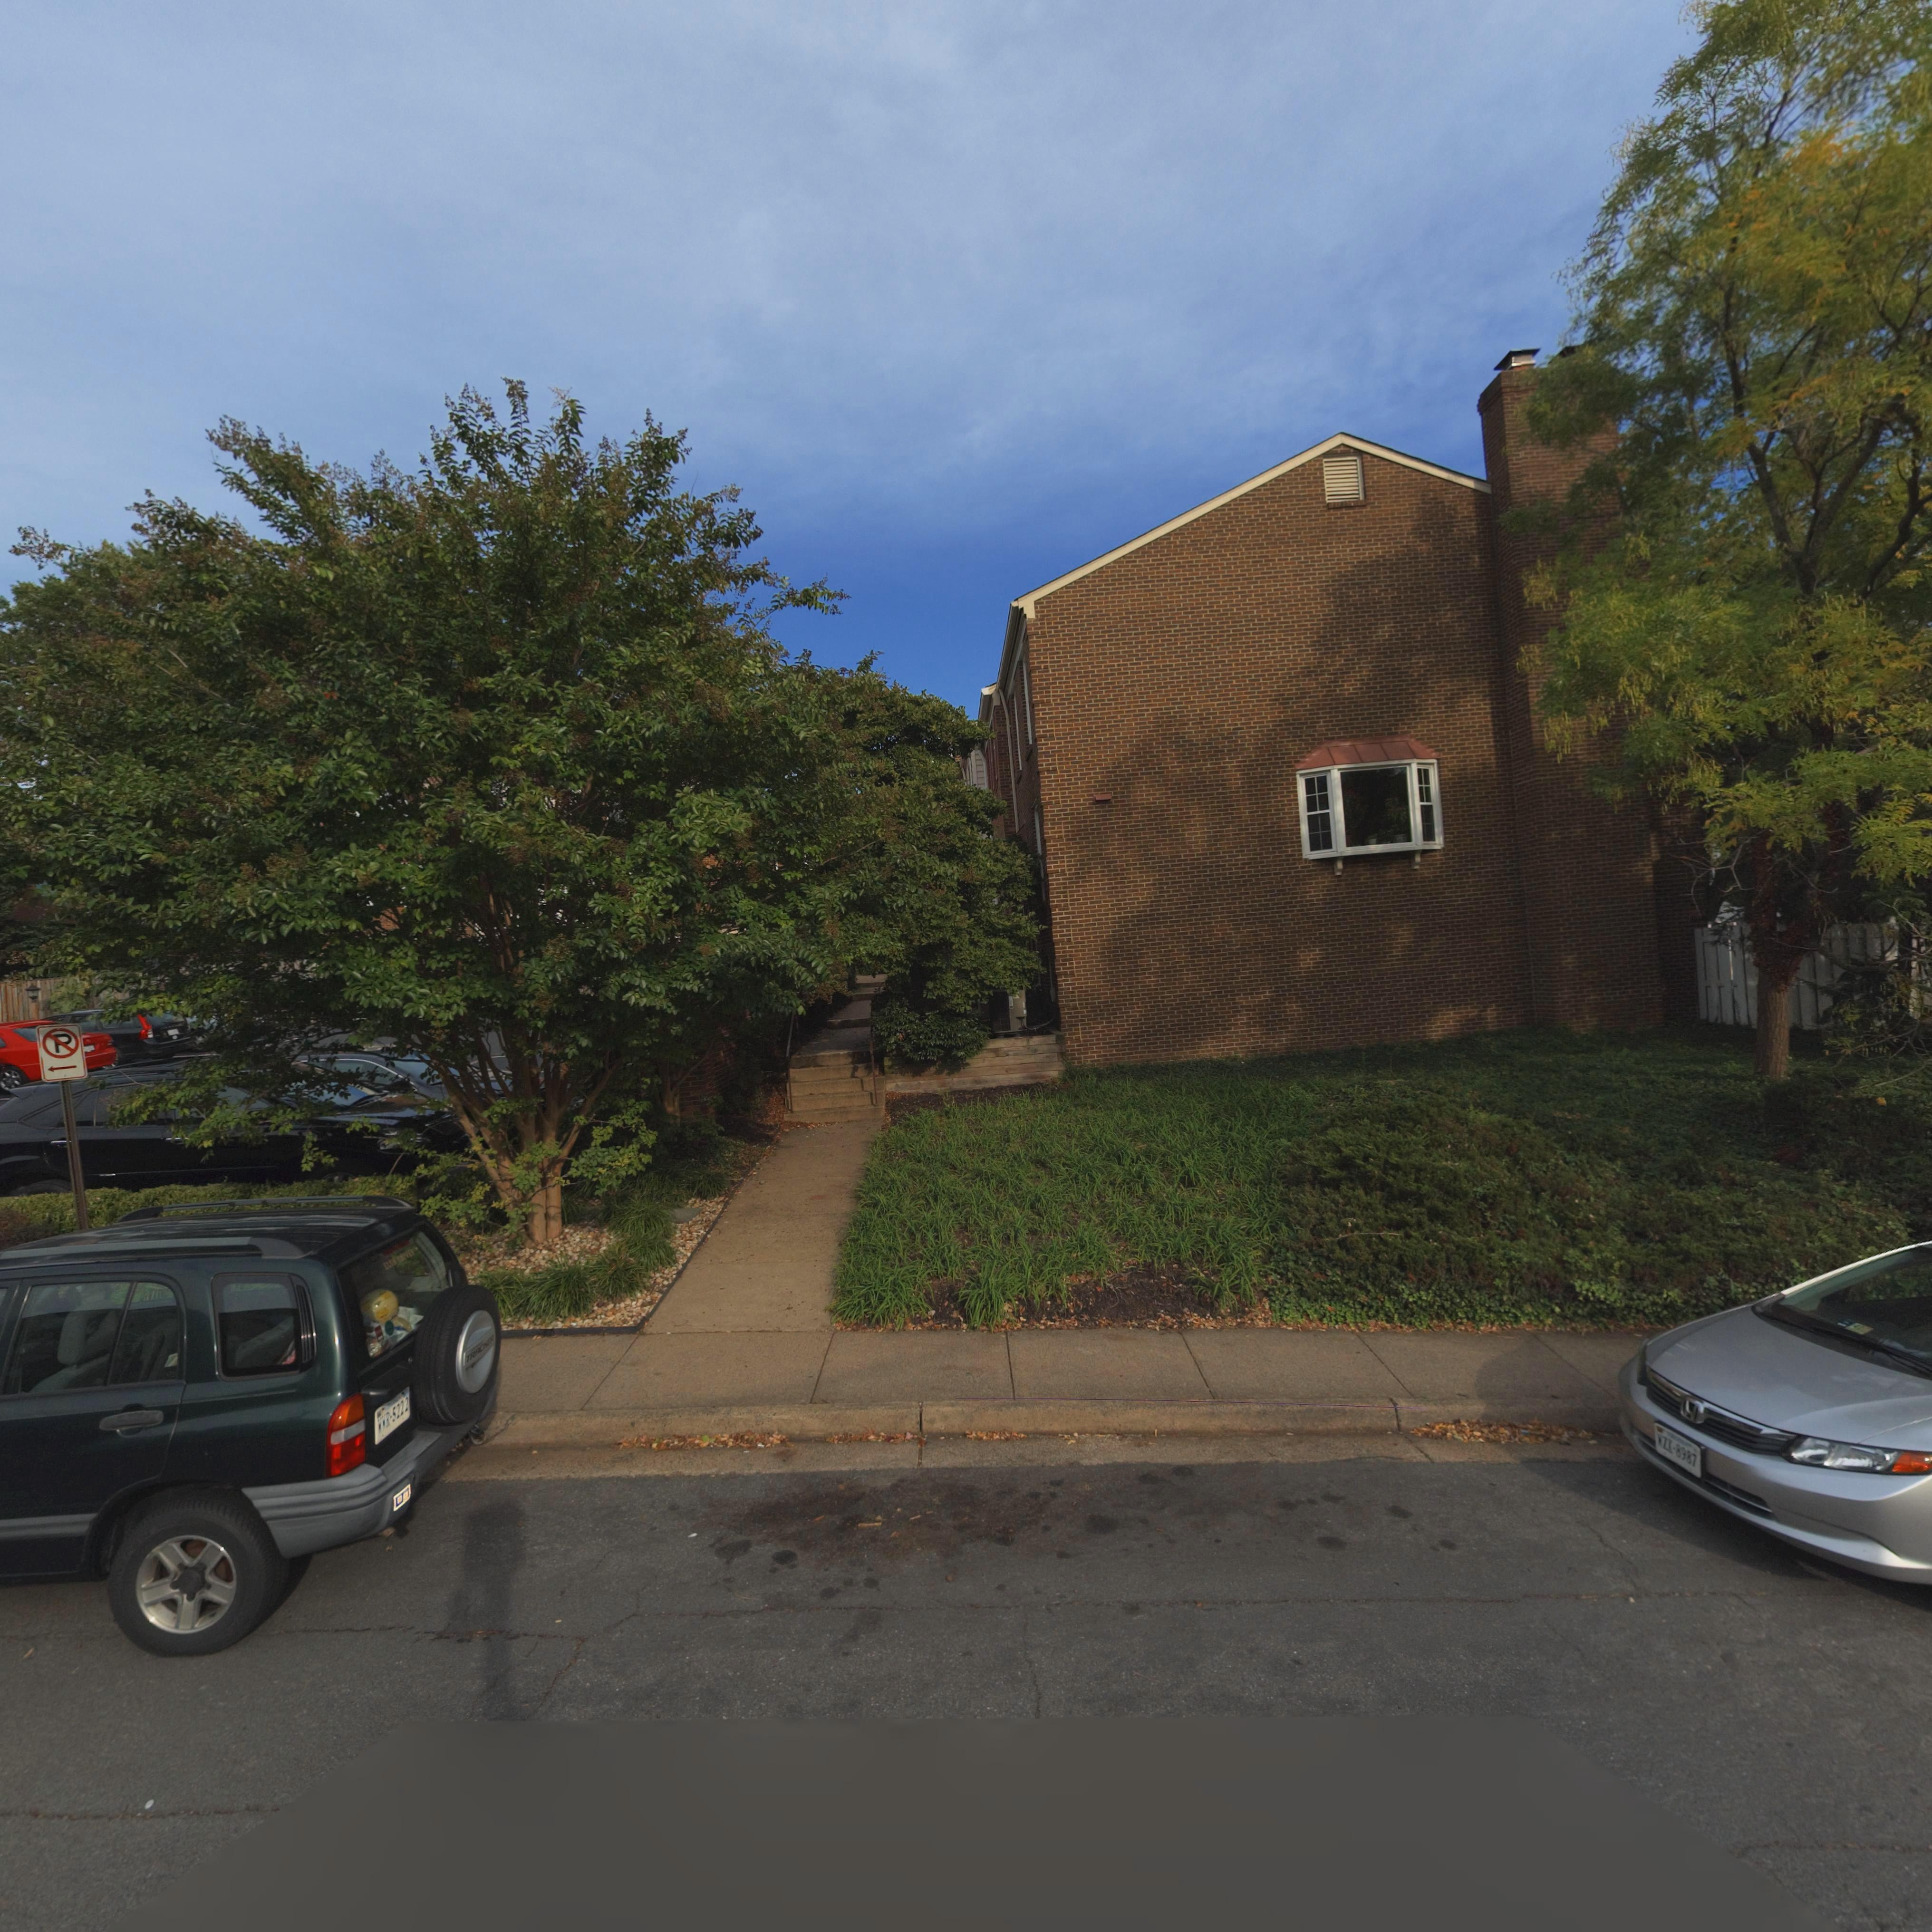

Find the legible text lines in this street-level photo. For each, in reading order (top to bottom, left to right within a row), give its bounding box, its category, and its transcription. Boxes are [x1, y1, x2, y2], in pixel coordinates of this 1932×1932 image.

[466, 1333, 496, 1364] None: TRACKER
[377, 1395, 409, 1434] None: WWR-5222
[1657, 1433, 1698, 1468] None: WZE-8987